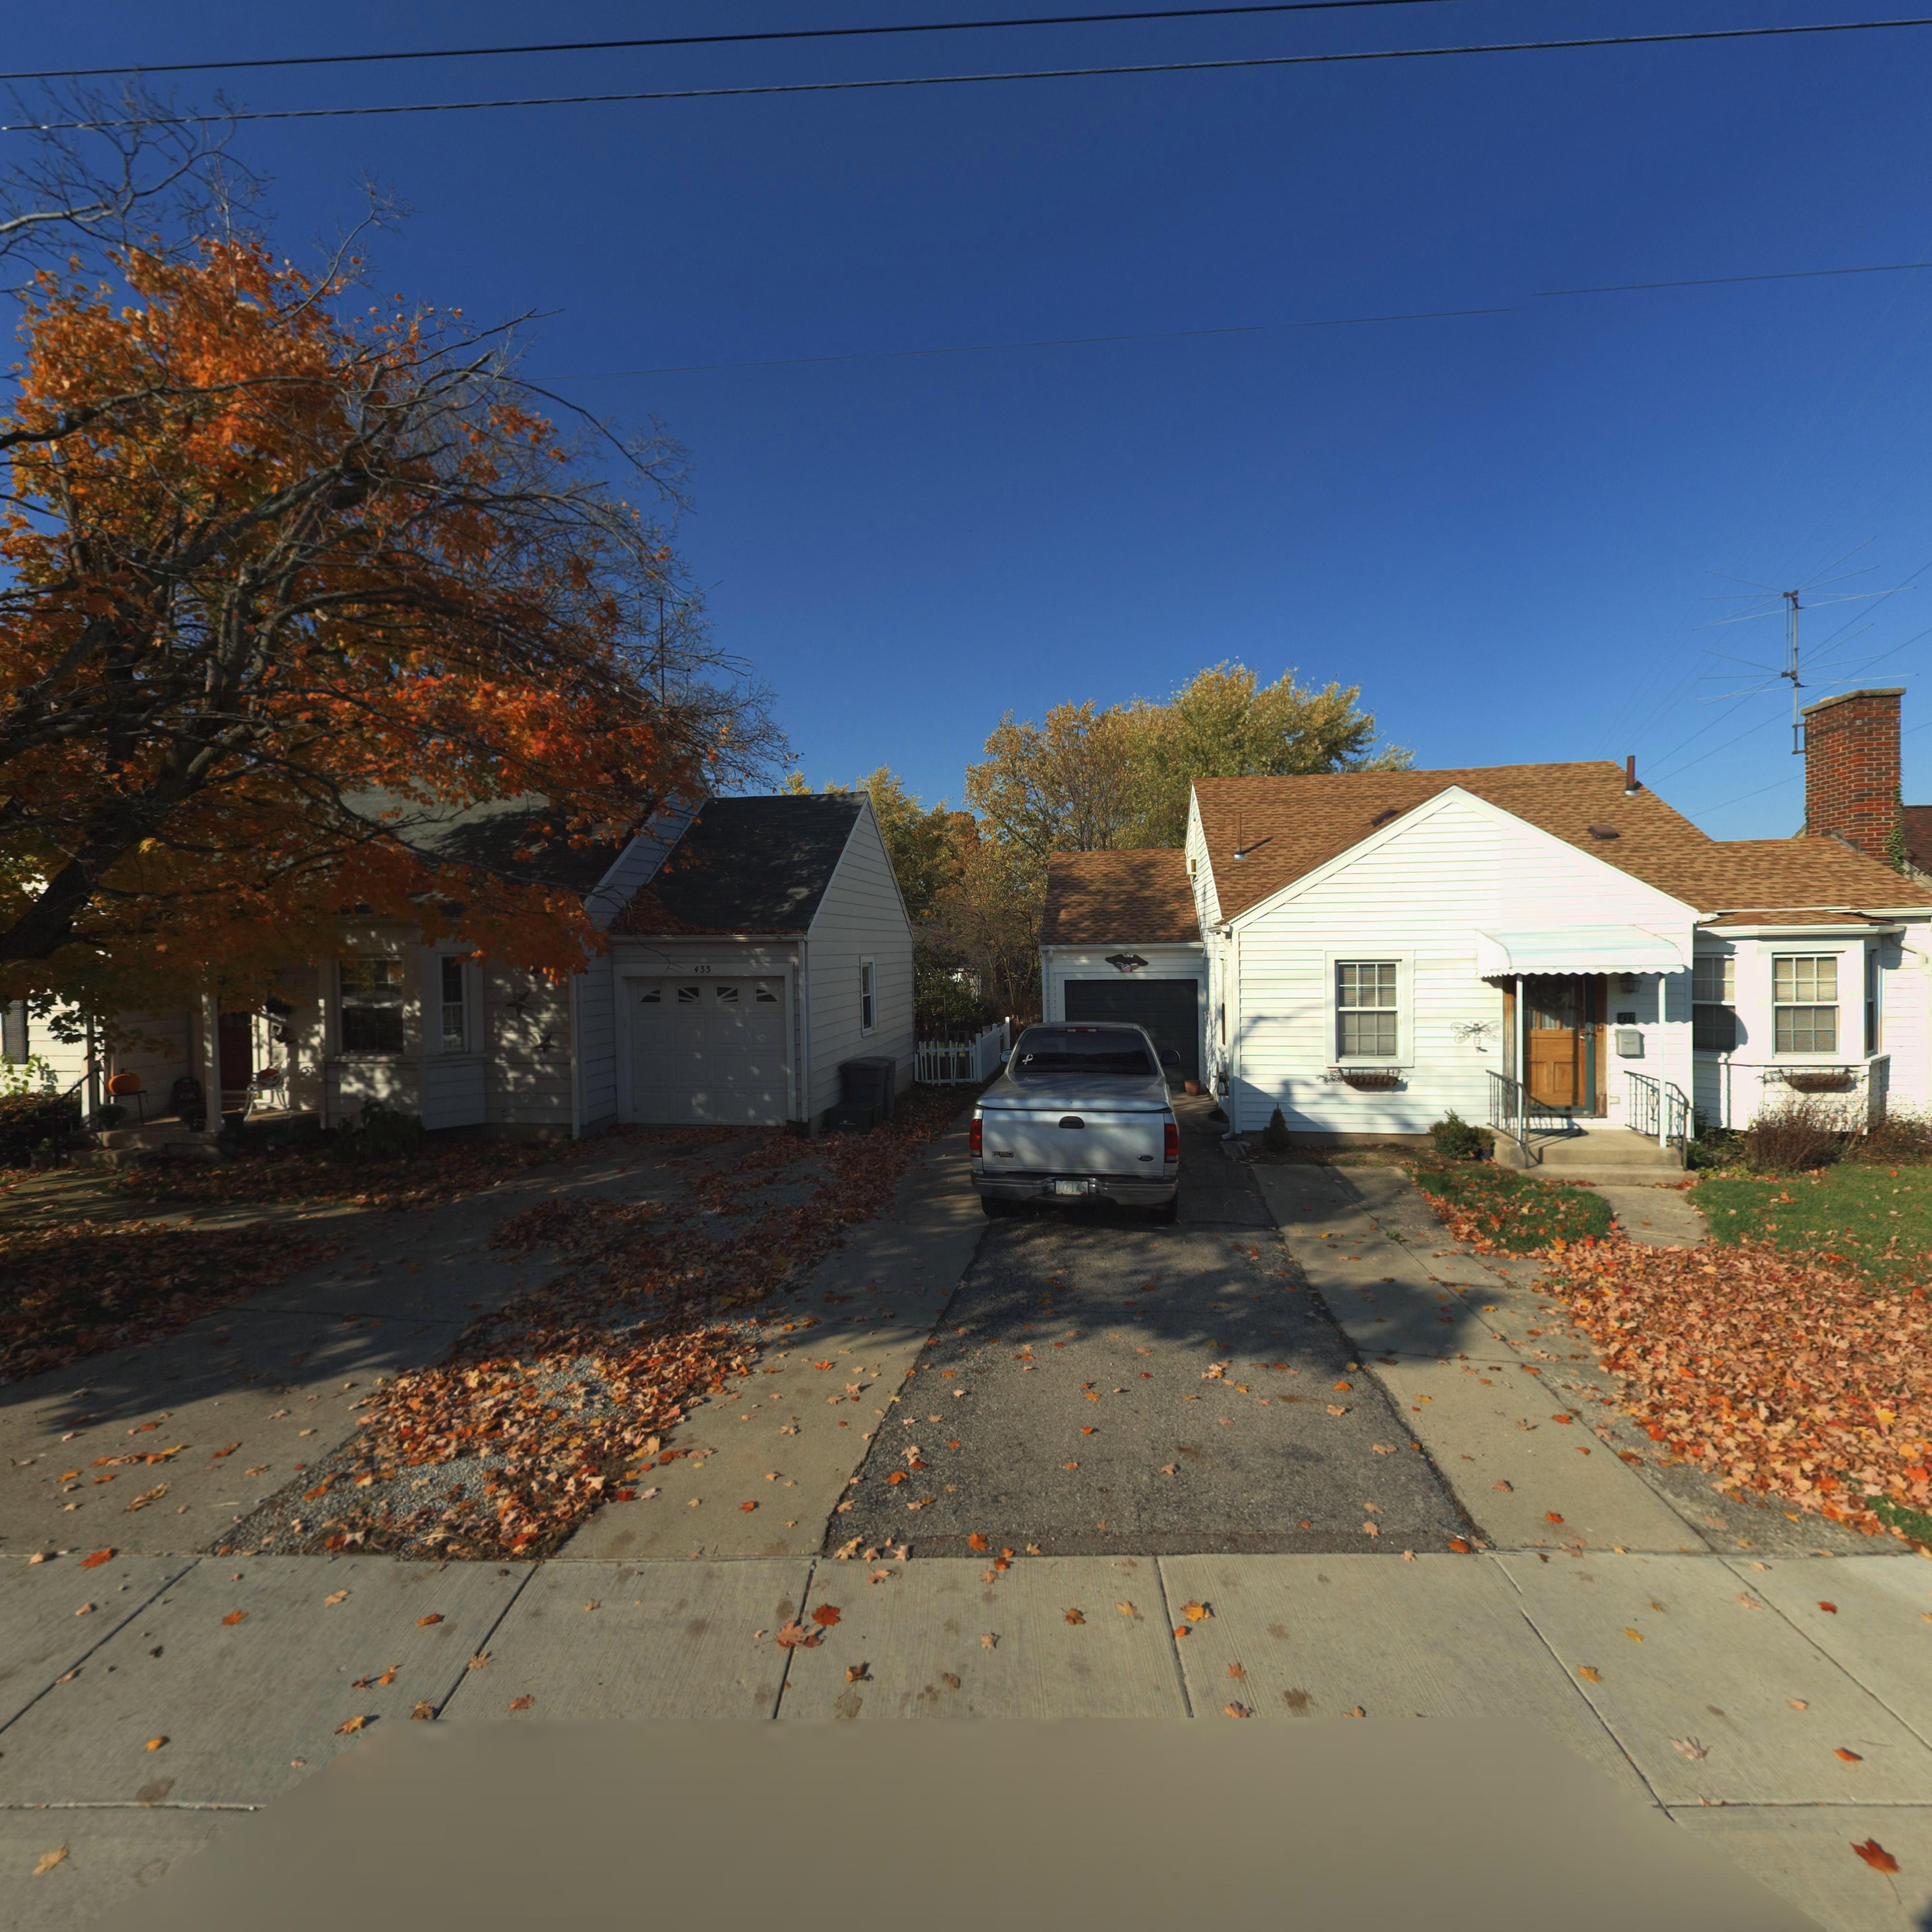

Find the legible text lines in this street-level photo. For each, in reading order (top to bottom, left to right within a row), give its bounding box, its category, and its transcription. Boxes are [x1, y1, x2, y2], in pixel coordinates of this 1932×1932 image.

[693, 965, 711, 973] StreetNumber: 433
[1618, 1013, 1635, 1024] StreetNumber: 437